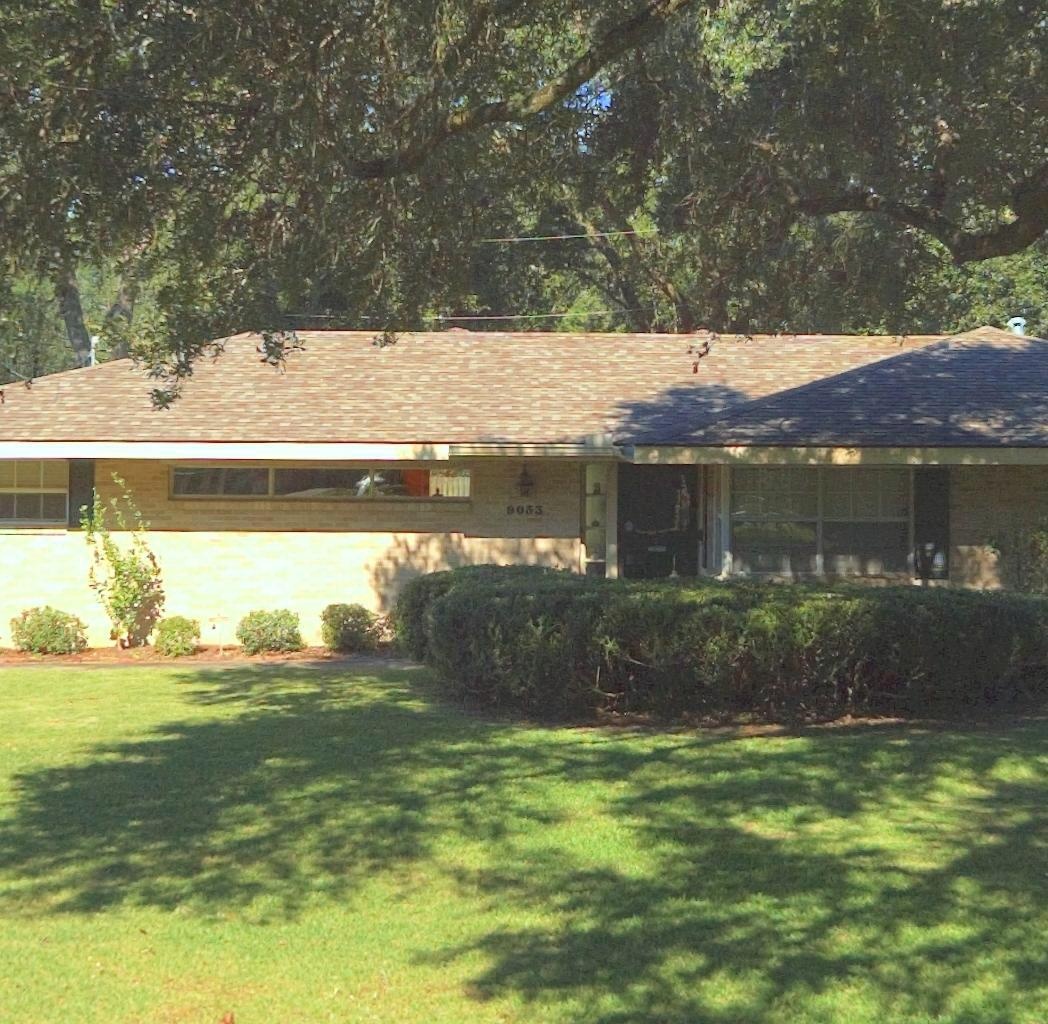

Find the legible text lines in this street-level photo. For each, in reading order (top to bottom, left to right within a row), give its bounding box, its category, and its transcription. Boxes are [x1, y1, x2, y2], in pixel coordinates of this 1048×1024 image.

[505, 503, 545, 517] StreetNumber: 9033